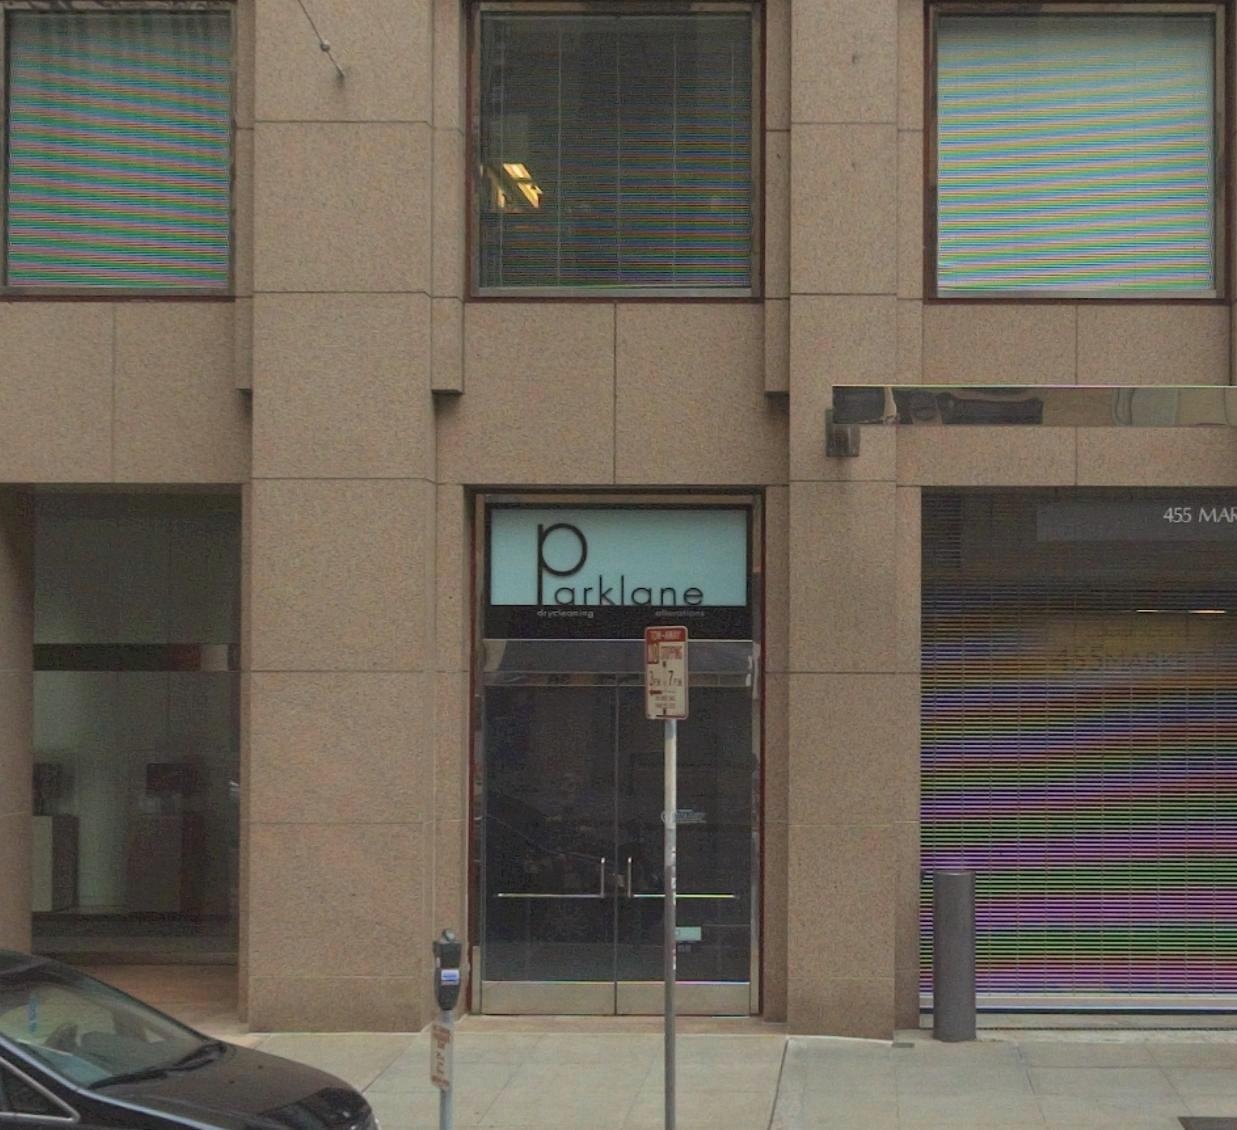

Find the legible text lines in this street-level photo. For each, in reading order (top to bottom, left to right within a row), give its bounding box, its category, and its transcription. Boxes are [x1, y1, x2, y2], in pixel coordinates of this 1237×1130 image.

[1159, 504, 1194, 526] StreetNumber: 455
[1196, 504, 1235, 526] StreetName: MA
[532, 519, 707, 608] BusinessName: Parklane
[647, 628, 684, 642] None: TOW-AWAY
[646, 668, 656, 689] None: 3
[666, 667, 677, 688] None: 7